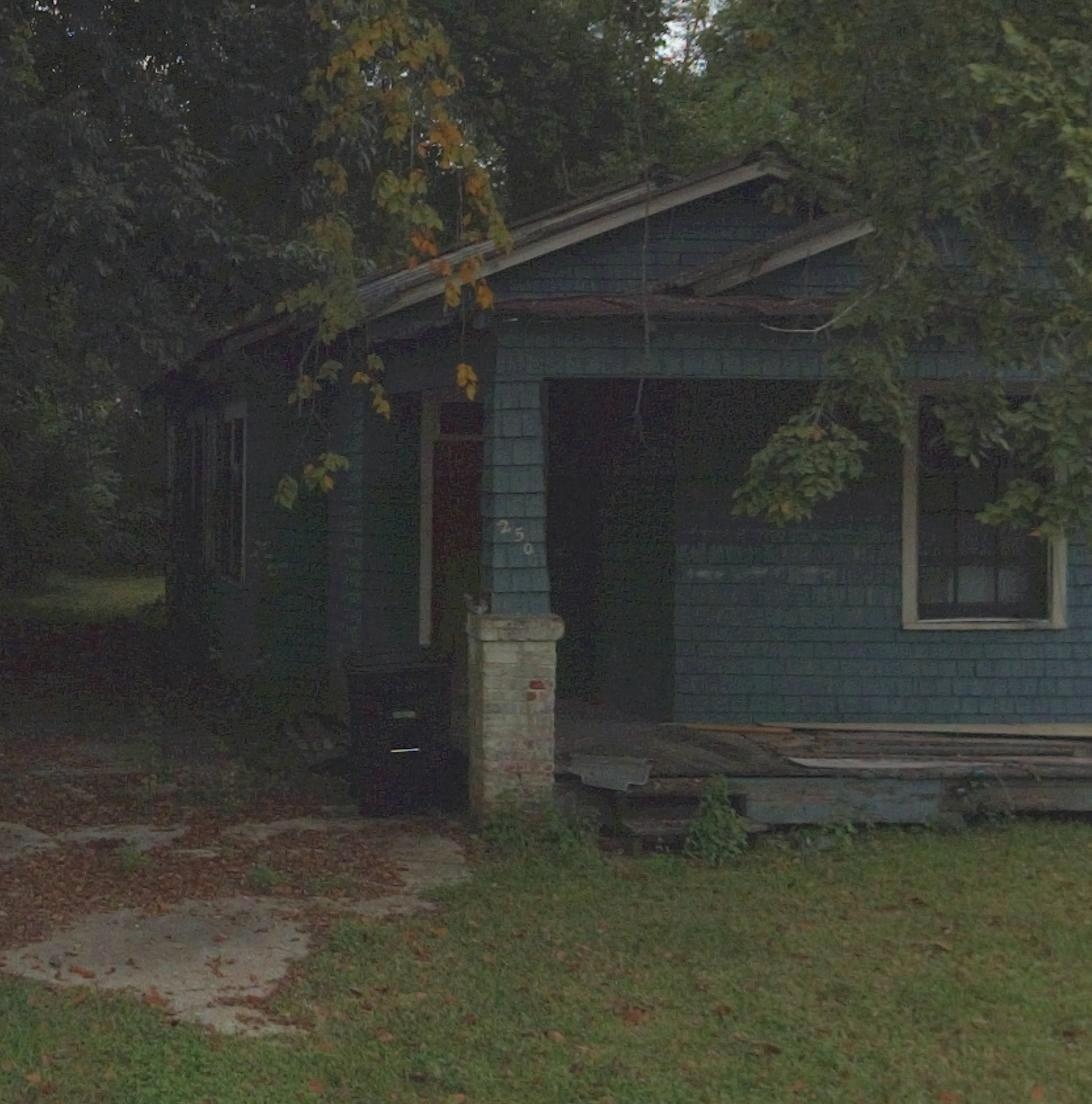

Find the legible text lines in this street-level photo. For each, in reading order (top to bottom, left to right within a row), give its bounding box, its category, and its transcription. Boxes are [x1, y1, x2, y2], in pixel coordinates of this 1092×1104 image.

[495, 518, 534, 555] StreetNumber: 250